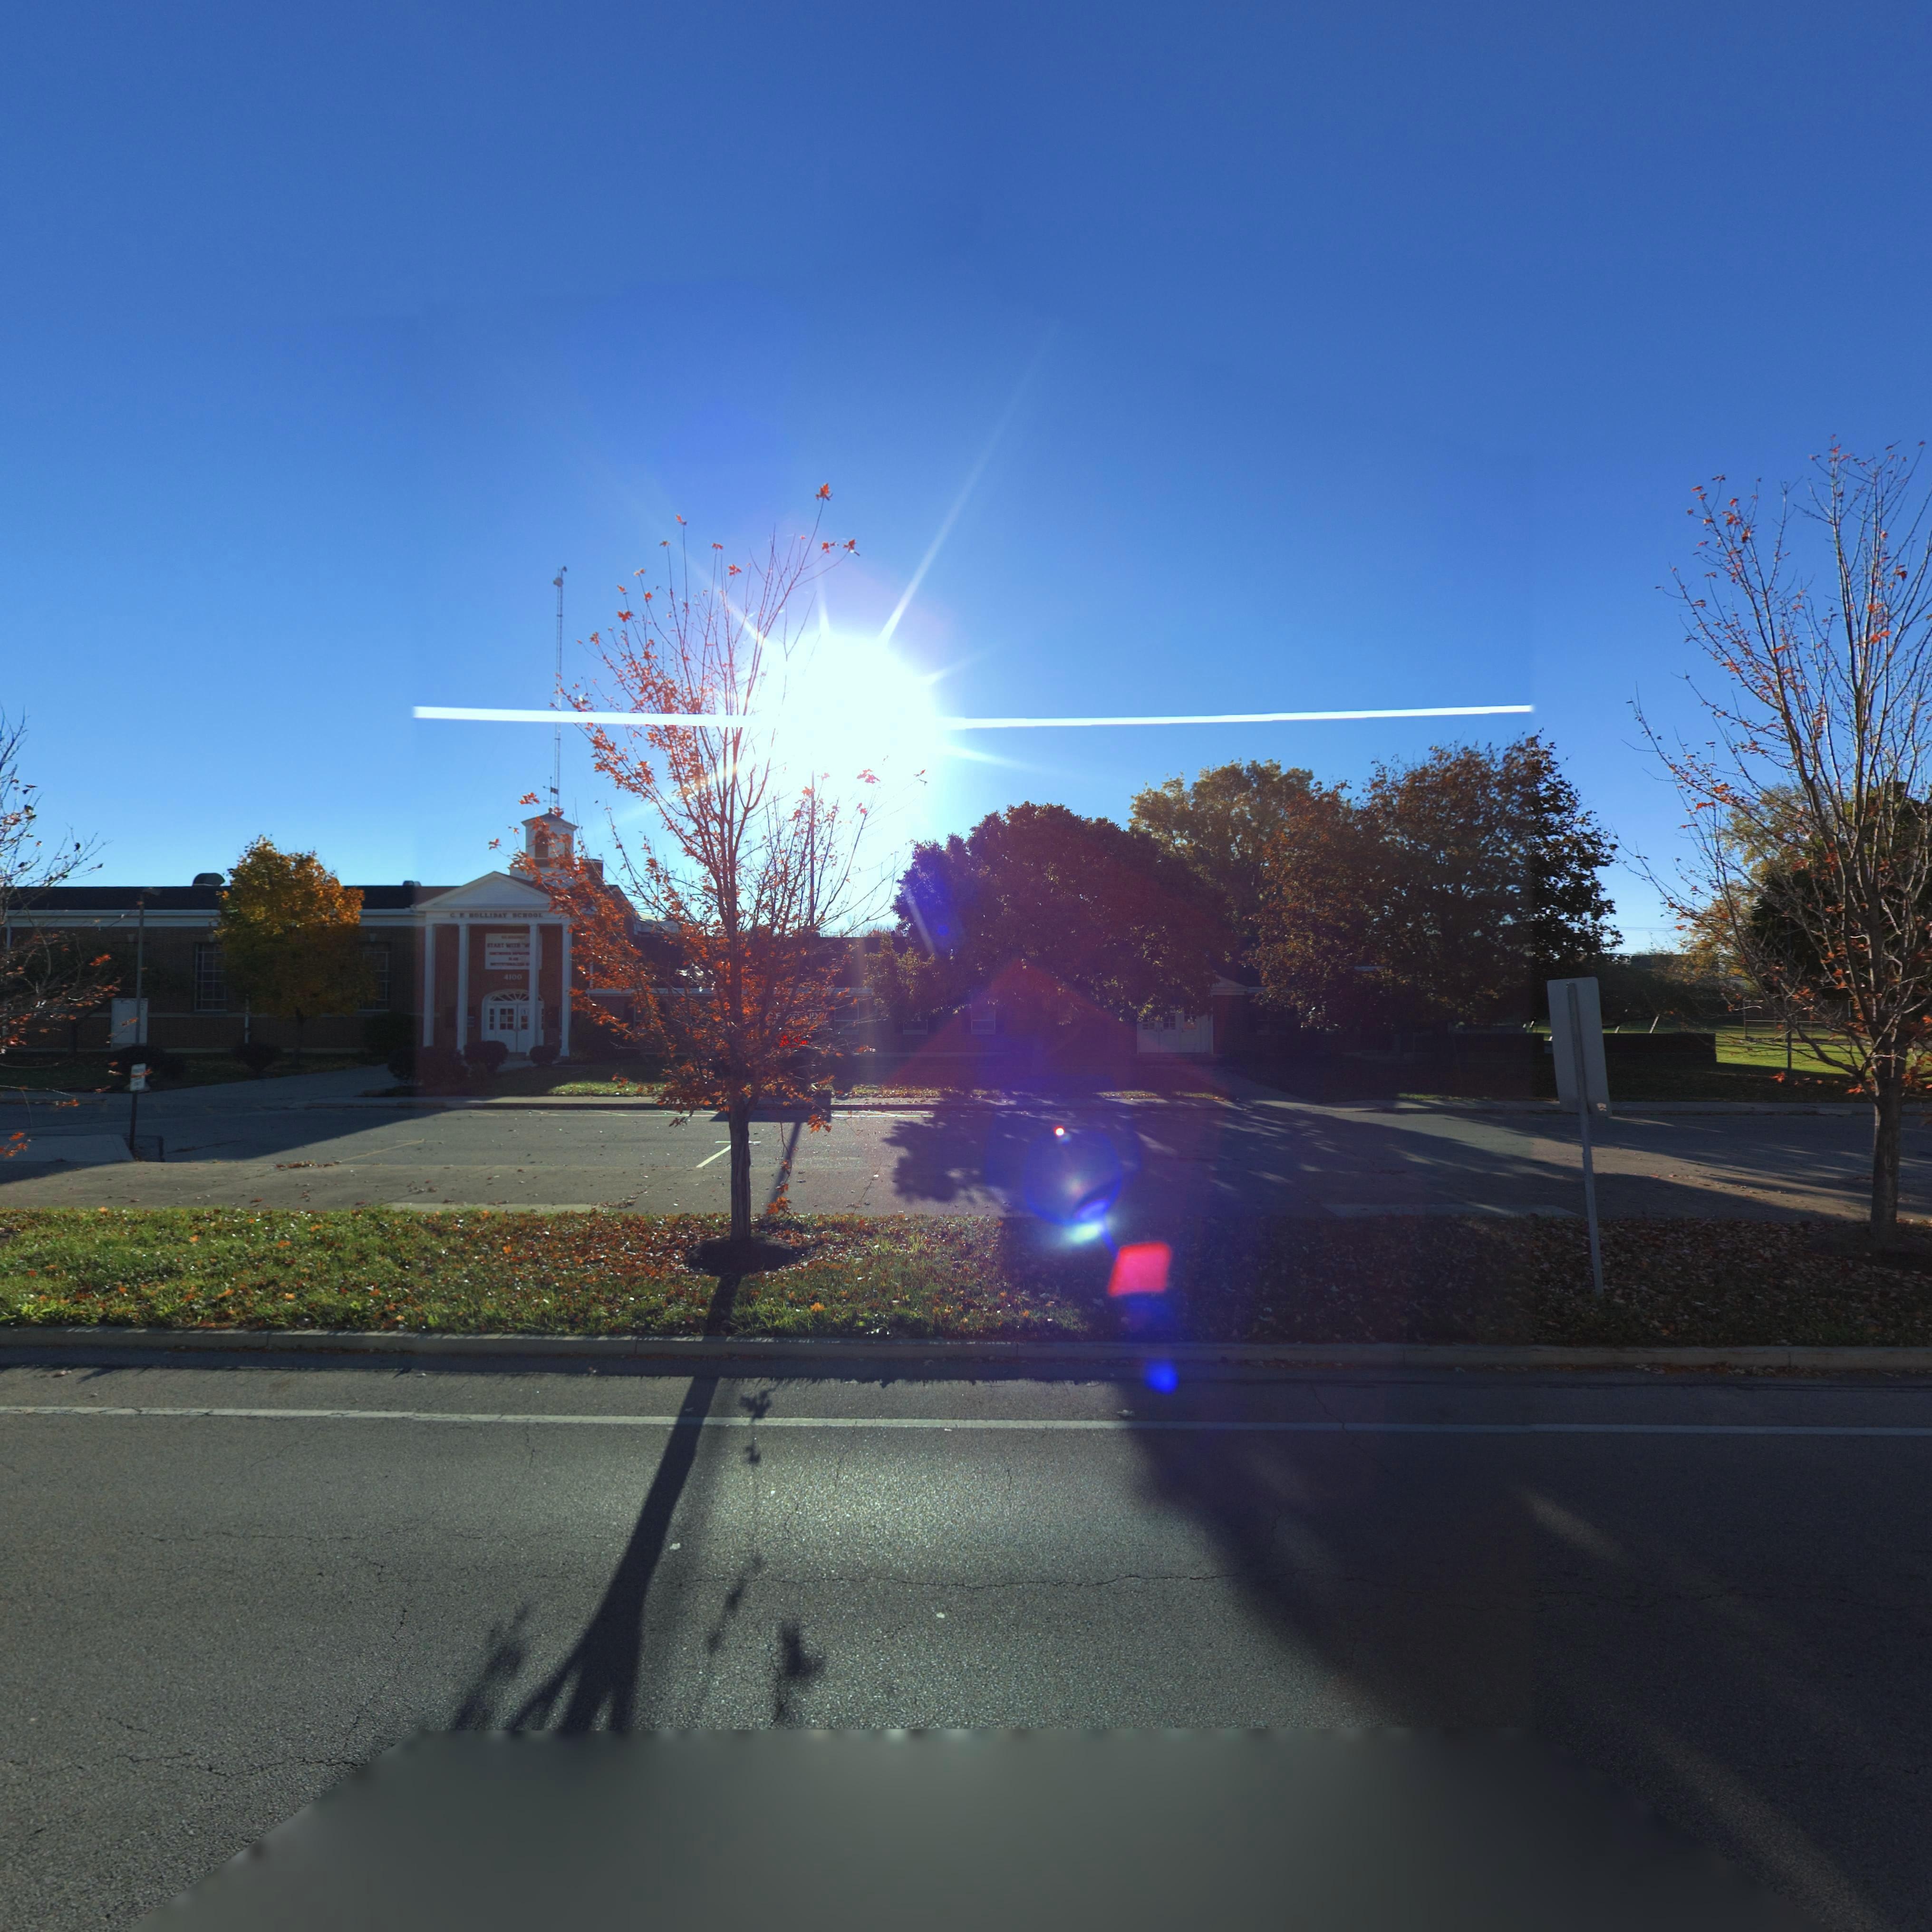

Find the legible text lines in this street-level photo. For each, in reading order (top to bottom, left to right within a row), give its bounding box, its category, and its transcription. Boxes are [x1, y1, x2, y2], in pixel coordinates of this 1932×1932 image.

[503, 974, 522, 980] StreetNumber: 4100